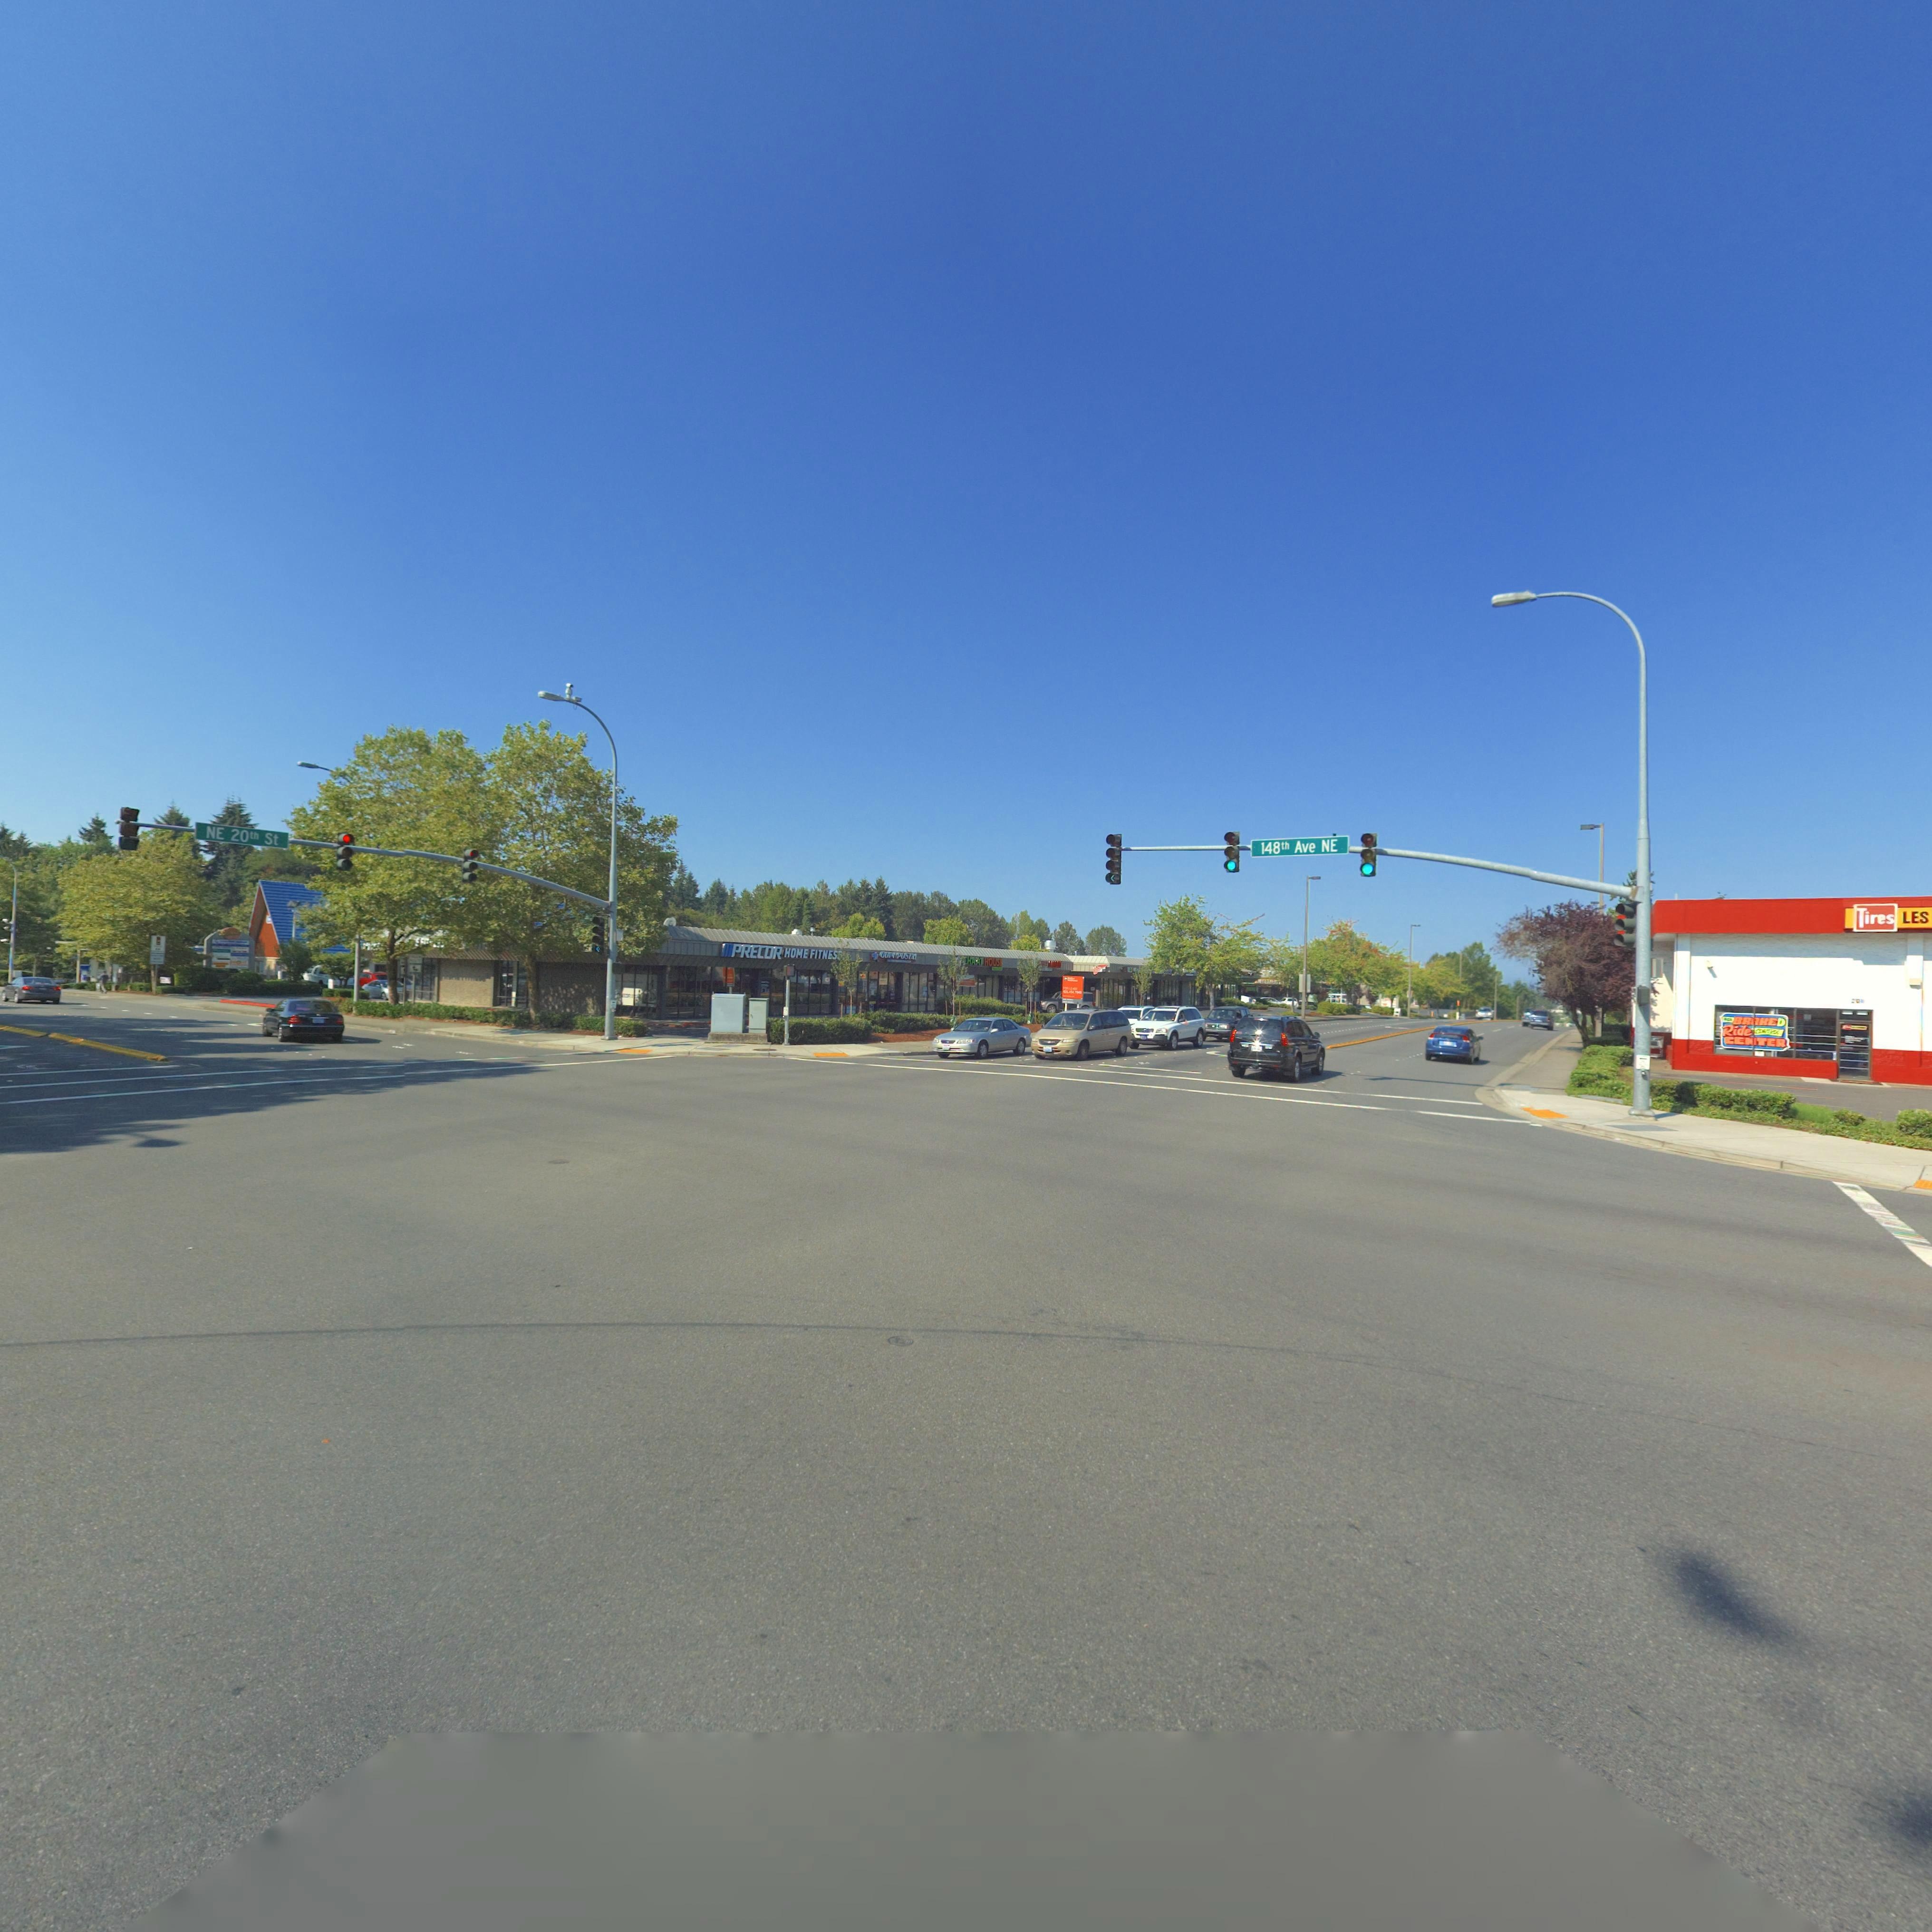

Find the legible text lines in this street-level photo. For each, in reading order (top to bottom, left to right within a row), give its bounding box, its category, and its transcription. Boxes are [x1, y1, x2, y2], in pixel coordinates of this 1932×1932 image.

[206, 826, 278, 845] StreetName: NE 20th St
[1259, 838, 1339, 855] StreetNumber: 148th Ave NE
[1855, 907, 1895, 928] BusinessName: Tires
[1901, 910, 1929, 924] BusinessName: LES
[730, 942, 843, 961] BusinessName: PRECOR HOME FITNES*
[880, 950, 918, 961] BusinessName: GOIN POSTAL
[966, 956, 1003, 967] BusinessName: HAAT HOUSE
[1851, 998, 1864, 1004] StreetNumber: 20*